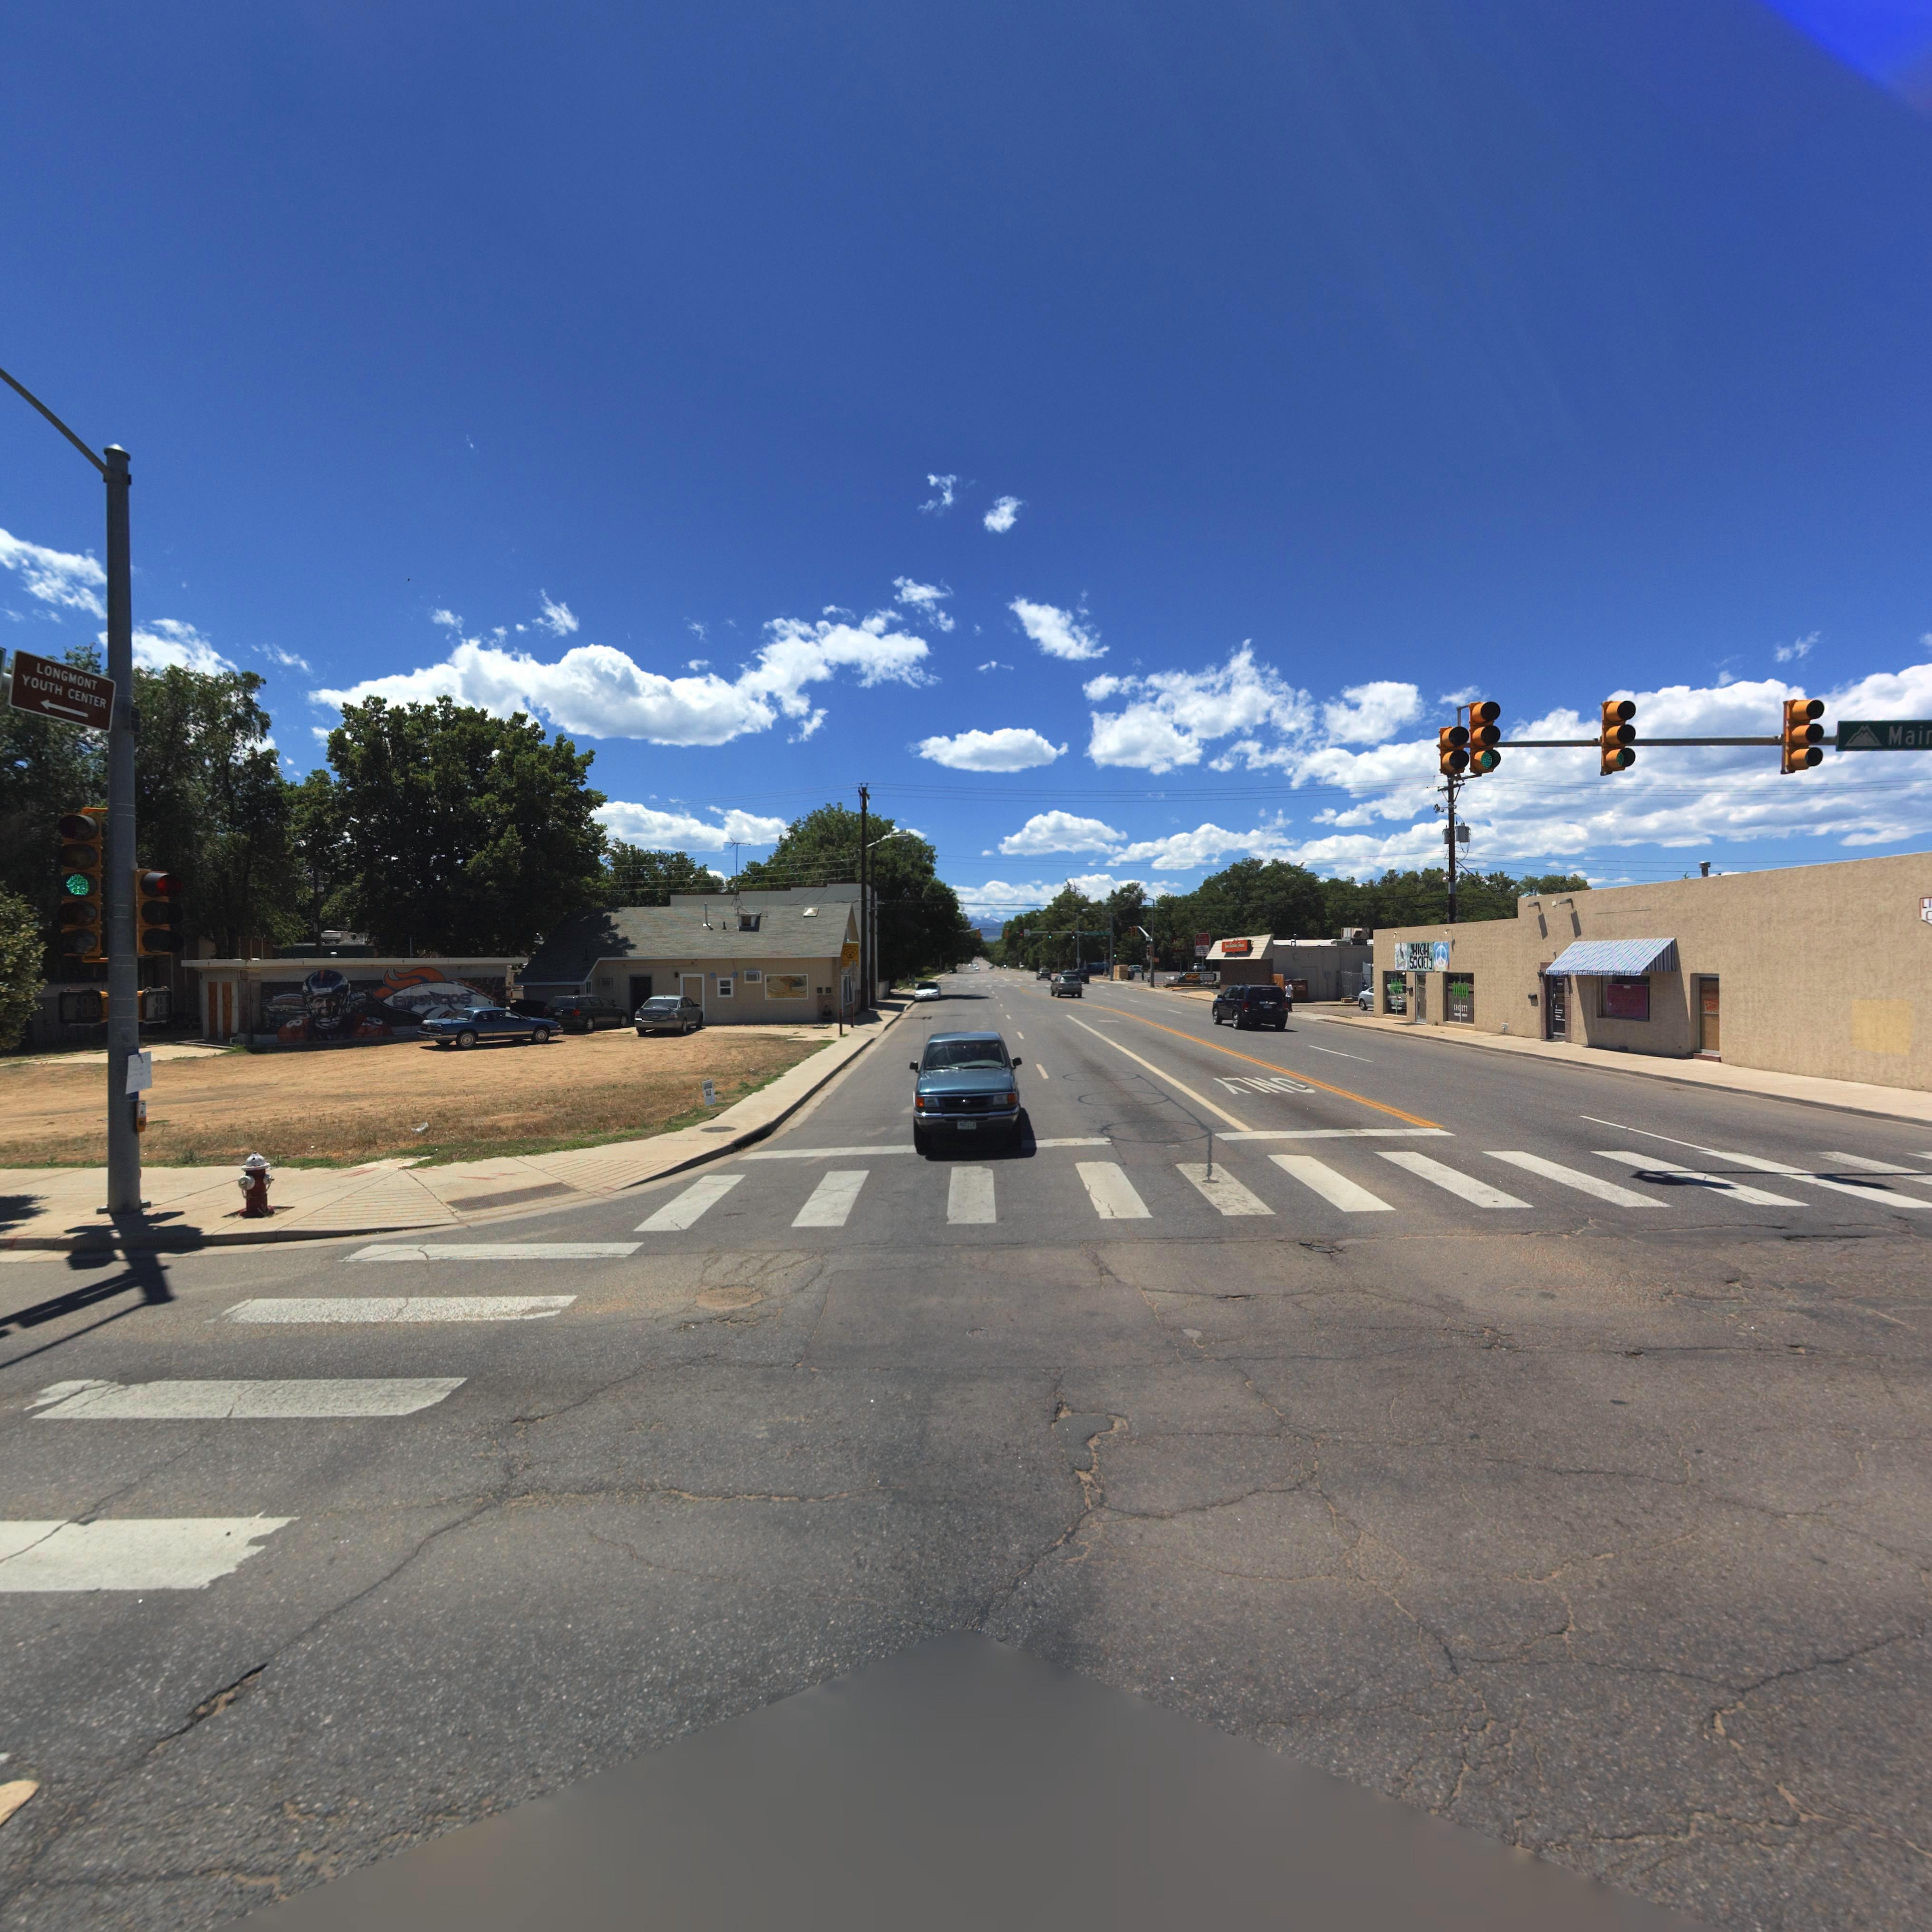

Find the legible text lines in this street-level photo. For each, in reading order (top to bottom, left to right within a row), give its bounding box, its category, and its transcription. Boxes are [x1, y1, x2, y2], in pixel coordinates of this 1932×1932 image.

[1887, 724, 1923, 746] StreetName: Mai
[1922, 898, 1931, 908] BusinessName: LI
[1412, 942, 1429, 956] BusinessName: HIGH
[1409, 955, 1432, 970] BusinessName: SOCIETY
[1453, 981, 1468, 1000] BusinessName: hig*
[1453, 1003, 1468, 1012] BusinessName: S*C****